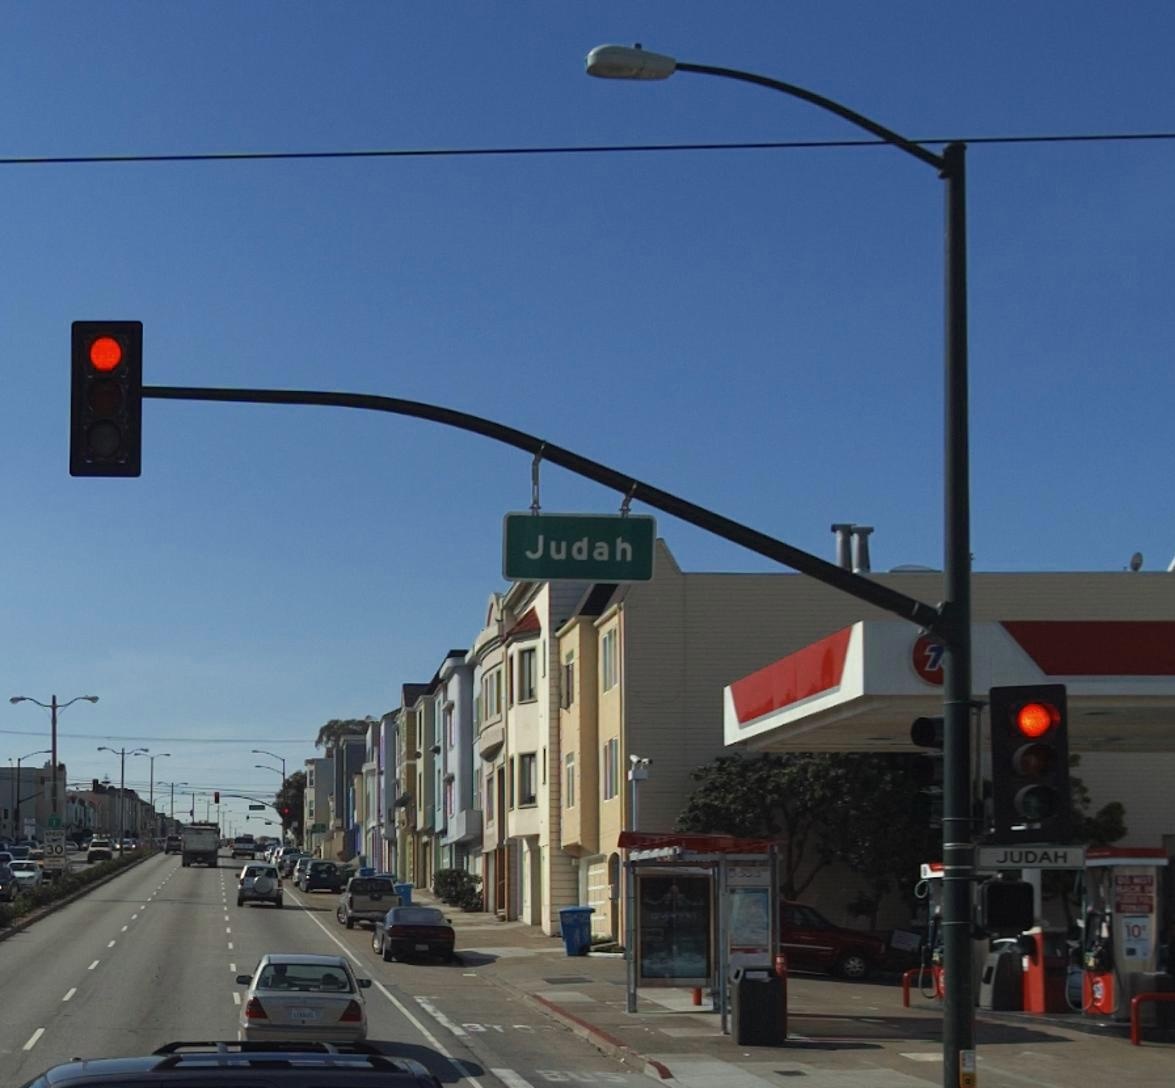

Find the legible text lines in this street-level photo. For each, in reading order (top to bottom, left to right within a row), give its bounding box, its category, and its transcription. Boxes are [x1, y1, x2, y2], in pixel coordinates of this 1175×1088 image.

[522, 534, 633, 562] StreetName: Judah
[995, 848, 1067, 864] None: JUDAH
[1123, 921, 1140, 938] None: 10